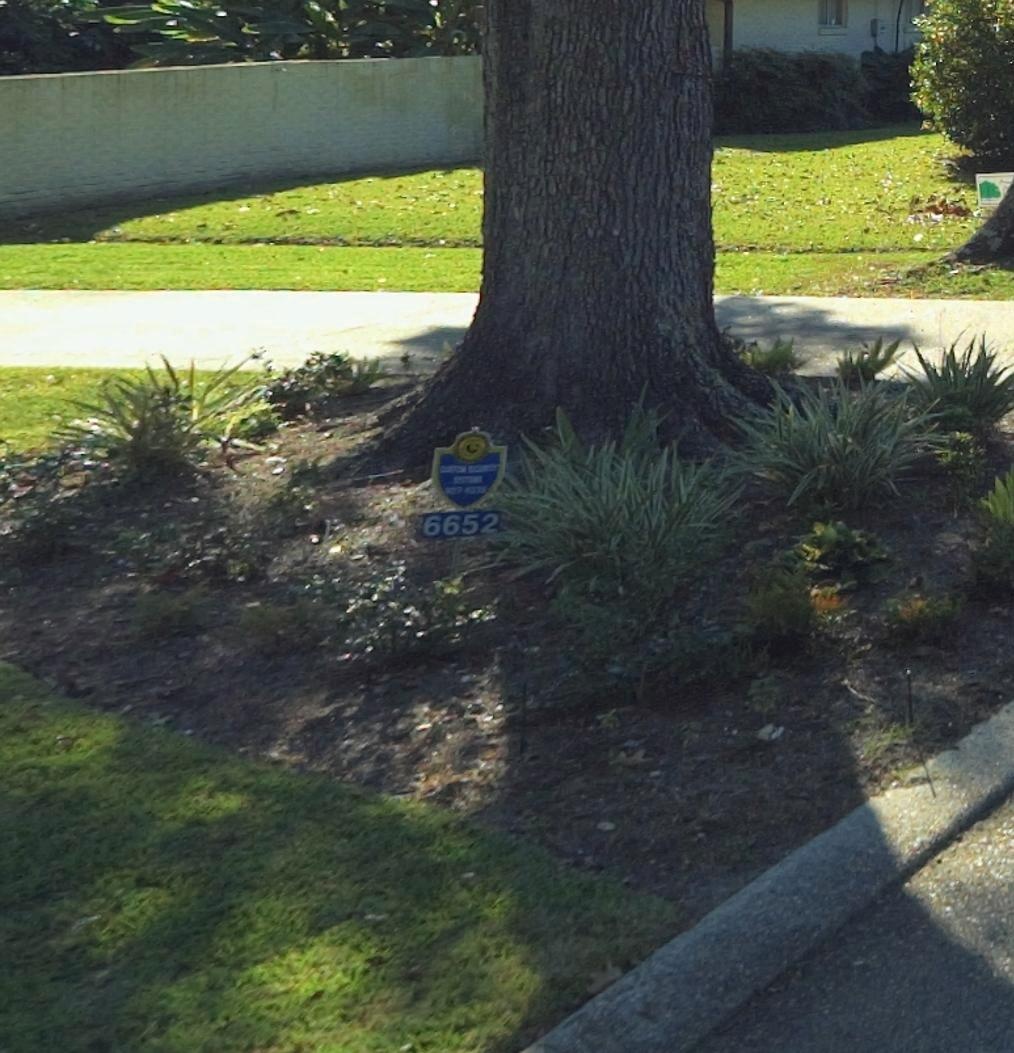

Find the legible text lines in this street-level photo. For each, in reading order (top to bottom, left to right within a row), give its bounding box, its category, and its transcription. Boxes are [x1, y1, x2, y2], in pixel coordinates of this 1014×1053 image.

[420, 512, 501, 538] StreetNumber: 6652